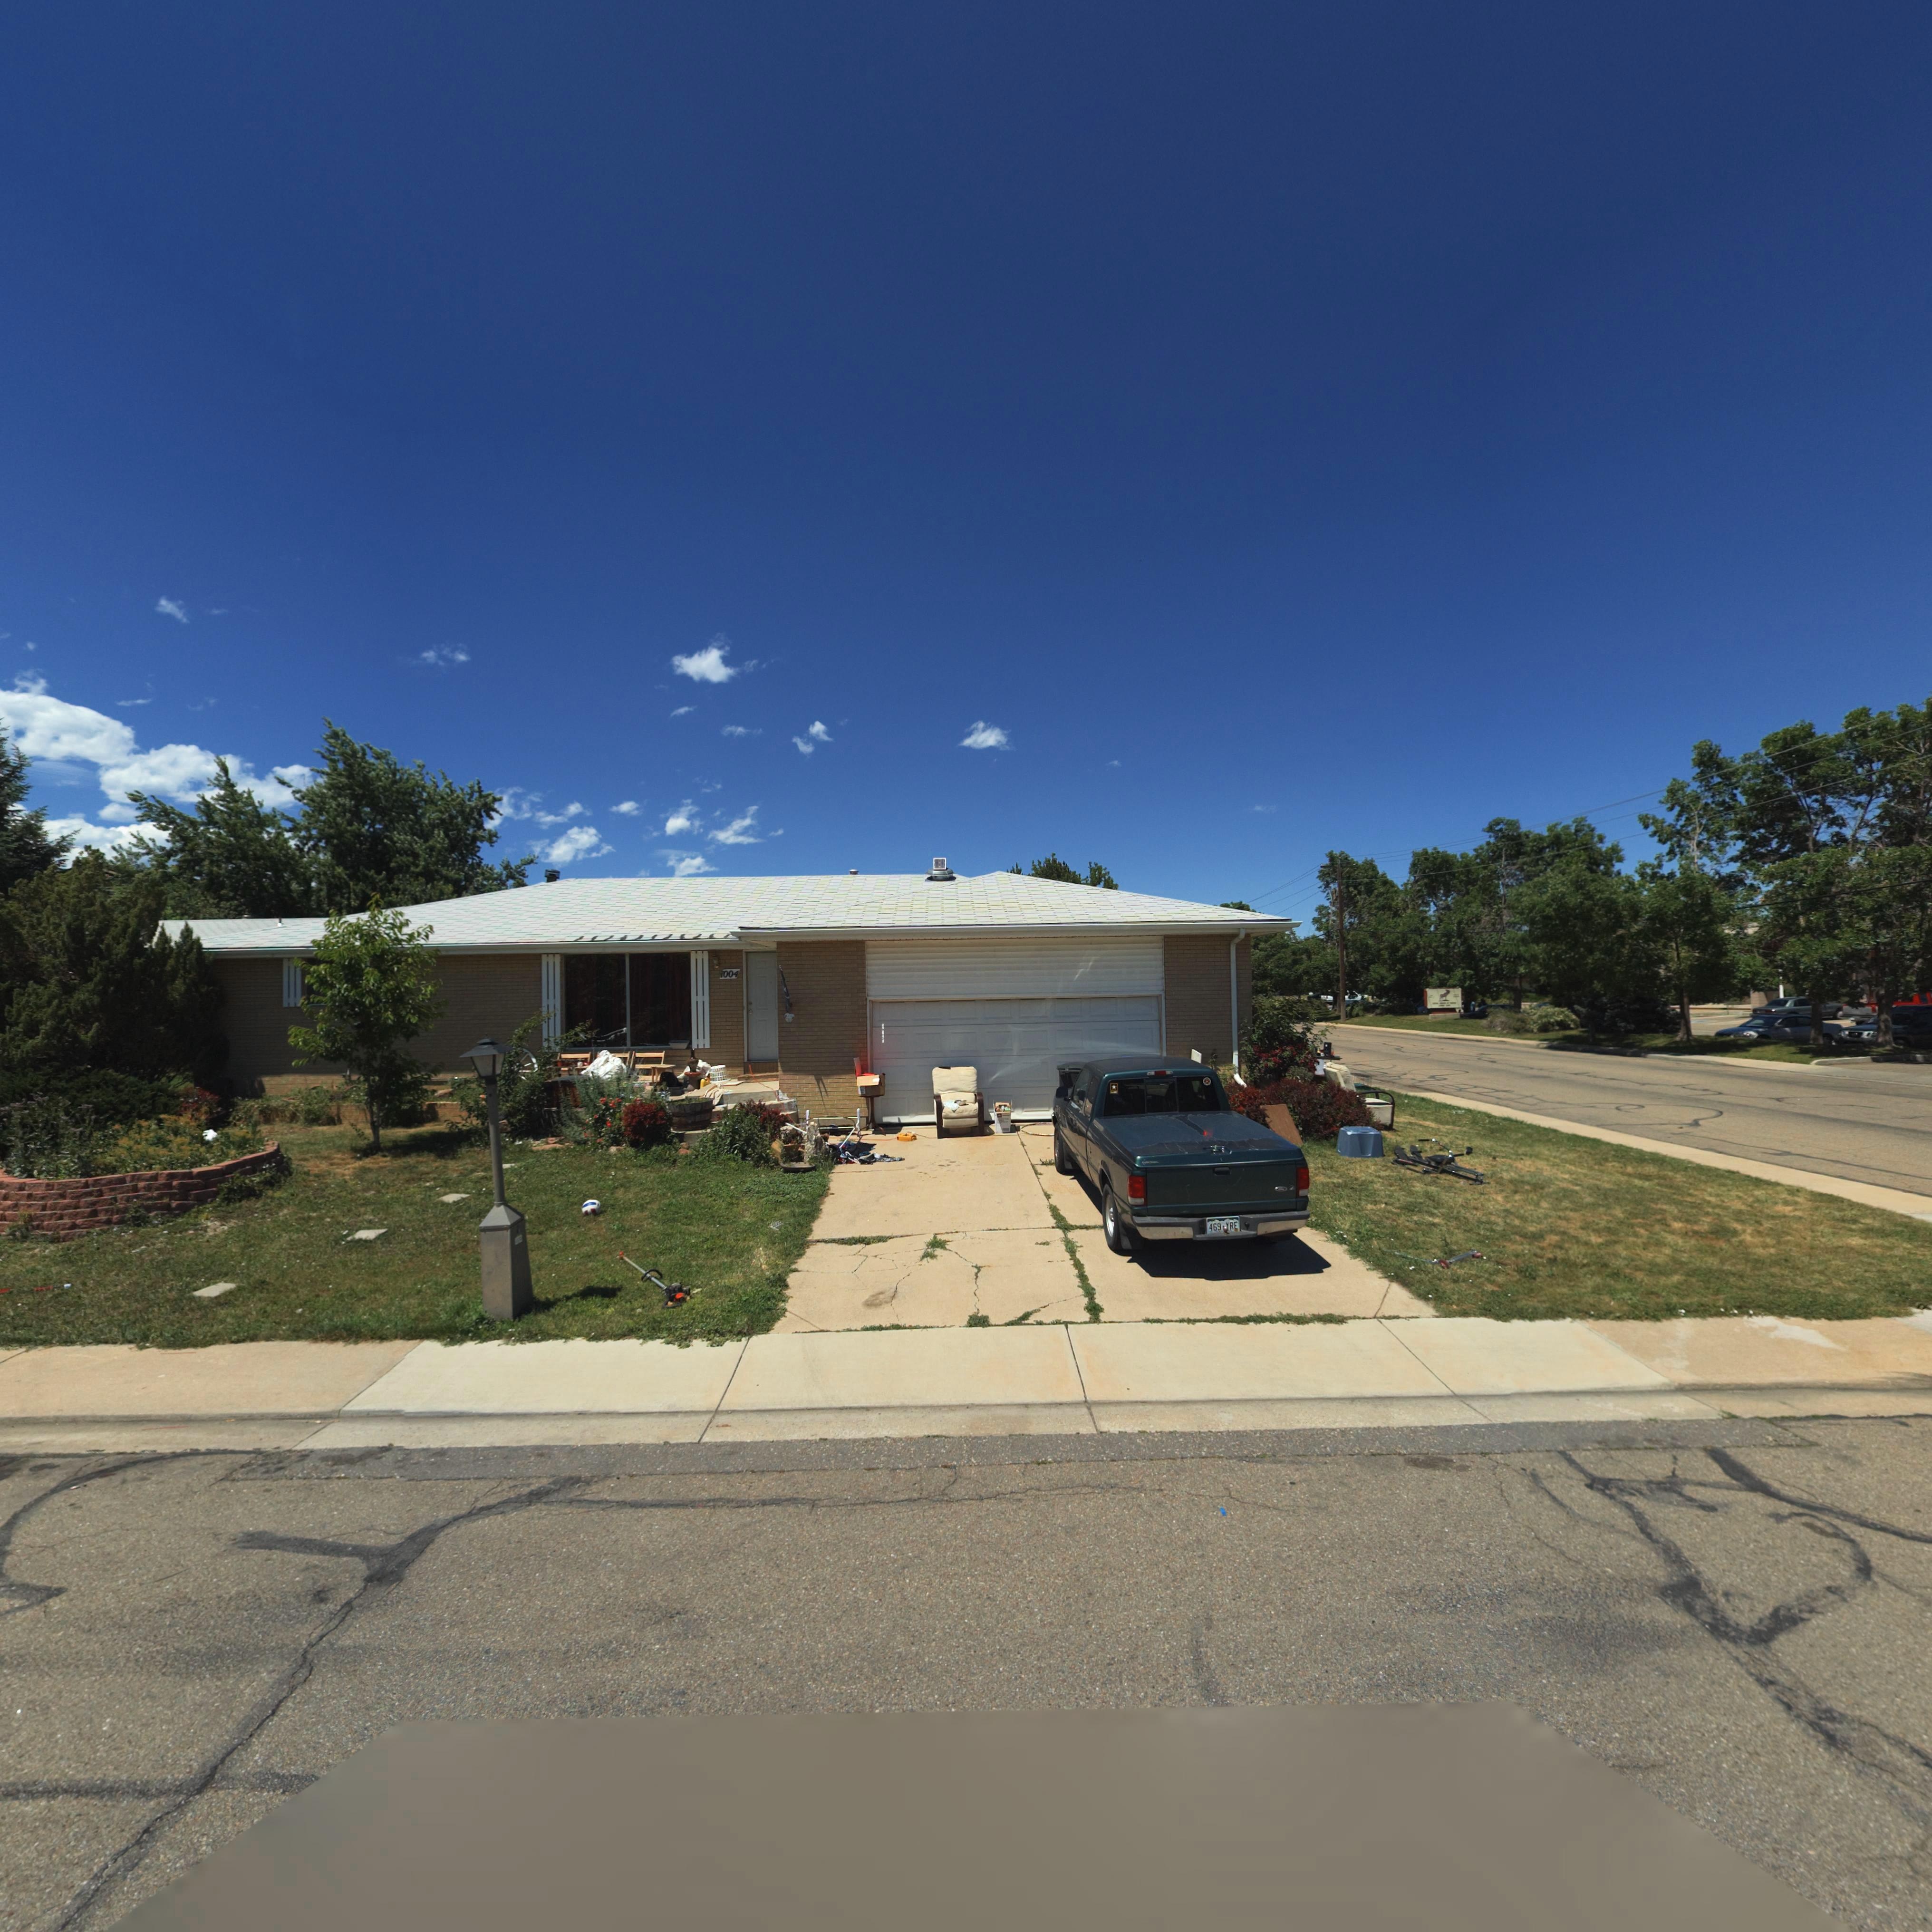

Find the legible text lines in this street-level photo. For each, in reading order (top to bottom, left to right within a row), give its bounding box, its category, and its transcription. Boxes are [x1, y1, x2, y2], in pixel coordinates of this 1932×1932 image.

[720, 970, 739, 978] StreetNumber: 1004